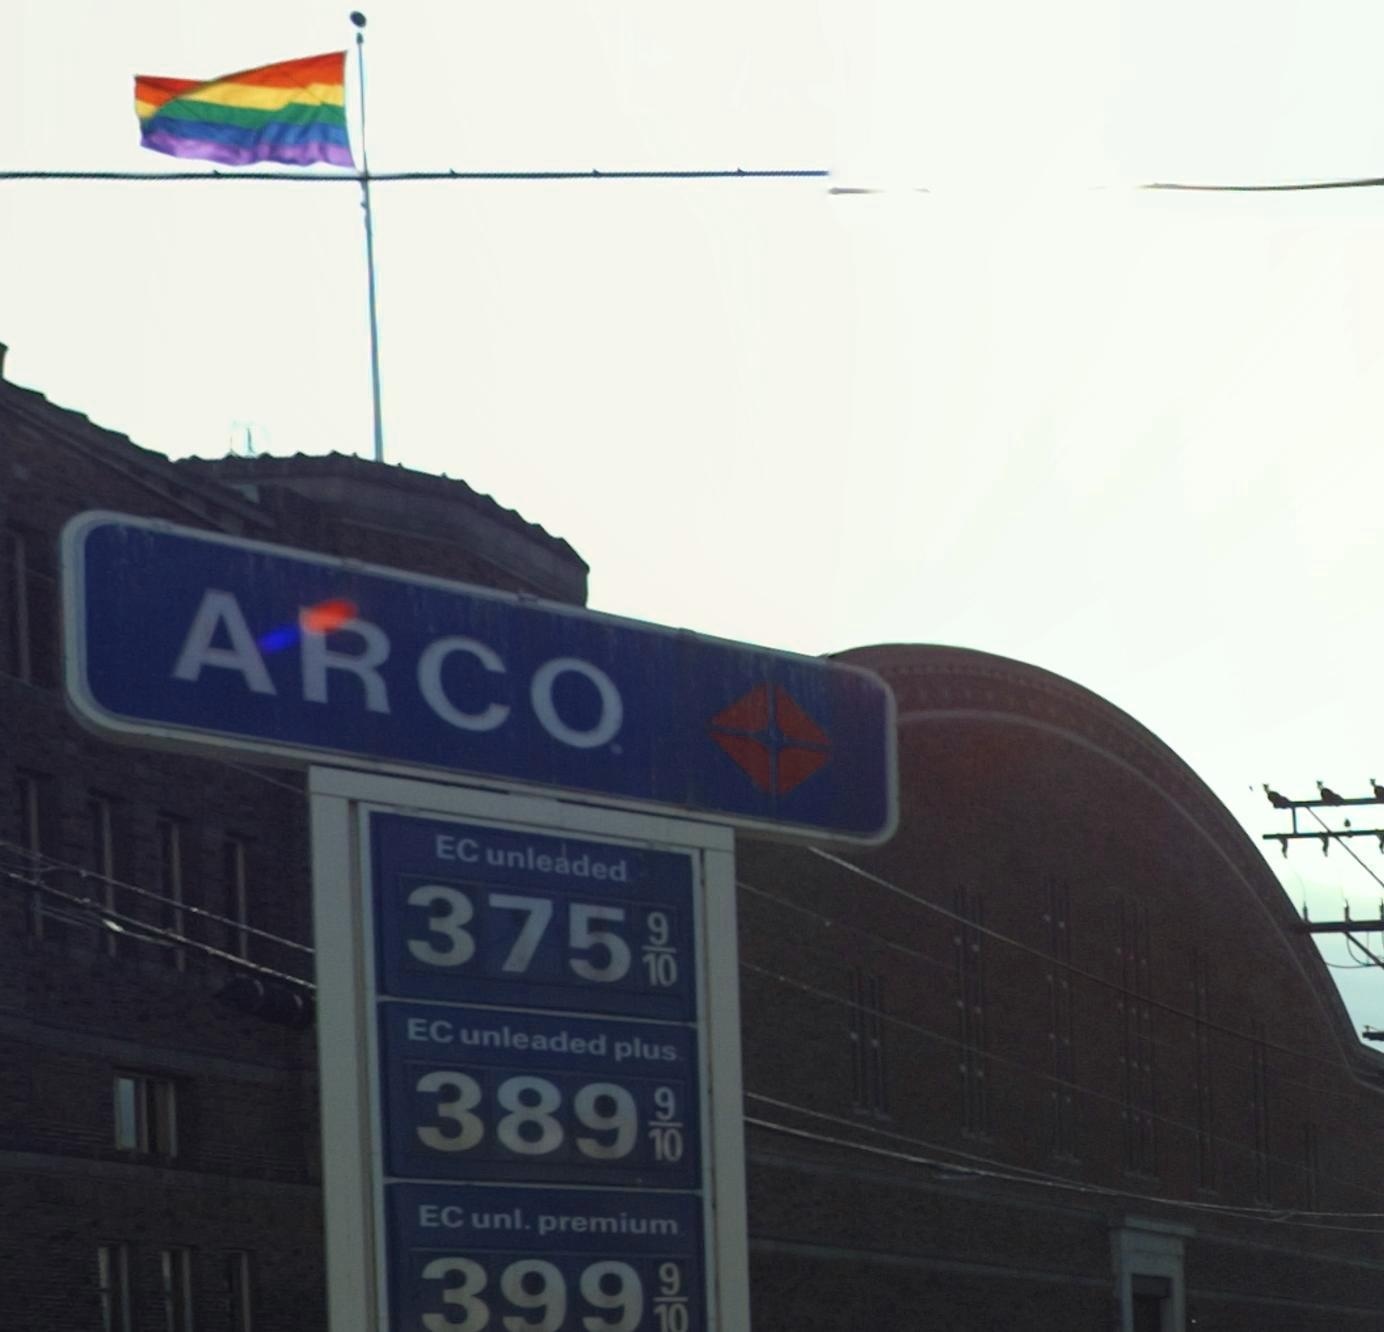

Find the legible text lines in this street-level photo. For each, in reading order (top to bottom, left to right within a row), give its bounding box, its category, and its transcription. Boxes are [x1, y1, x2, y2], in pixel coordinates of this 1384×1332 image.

[151, 572, 634, 762] BusinessName: ARCO
[432, 829, 631, 887] None: EC unleaded
[397, 871, 689, 999] None: 375 9/10
[403, 1013, 681, 1068] None: EC unleaded plus
[407, 1059, 690, 1170] None: 389 9/10
[414, 1200, 683, 1242] None: EC unl. premium
[414, 1251, 693, 1331] None: 399 9/10